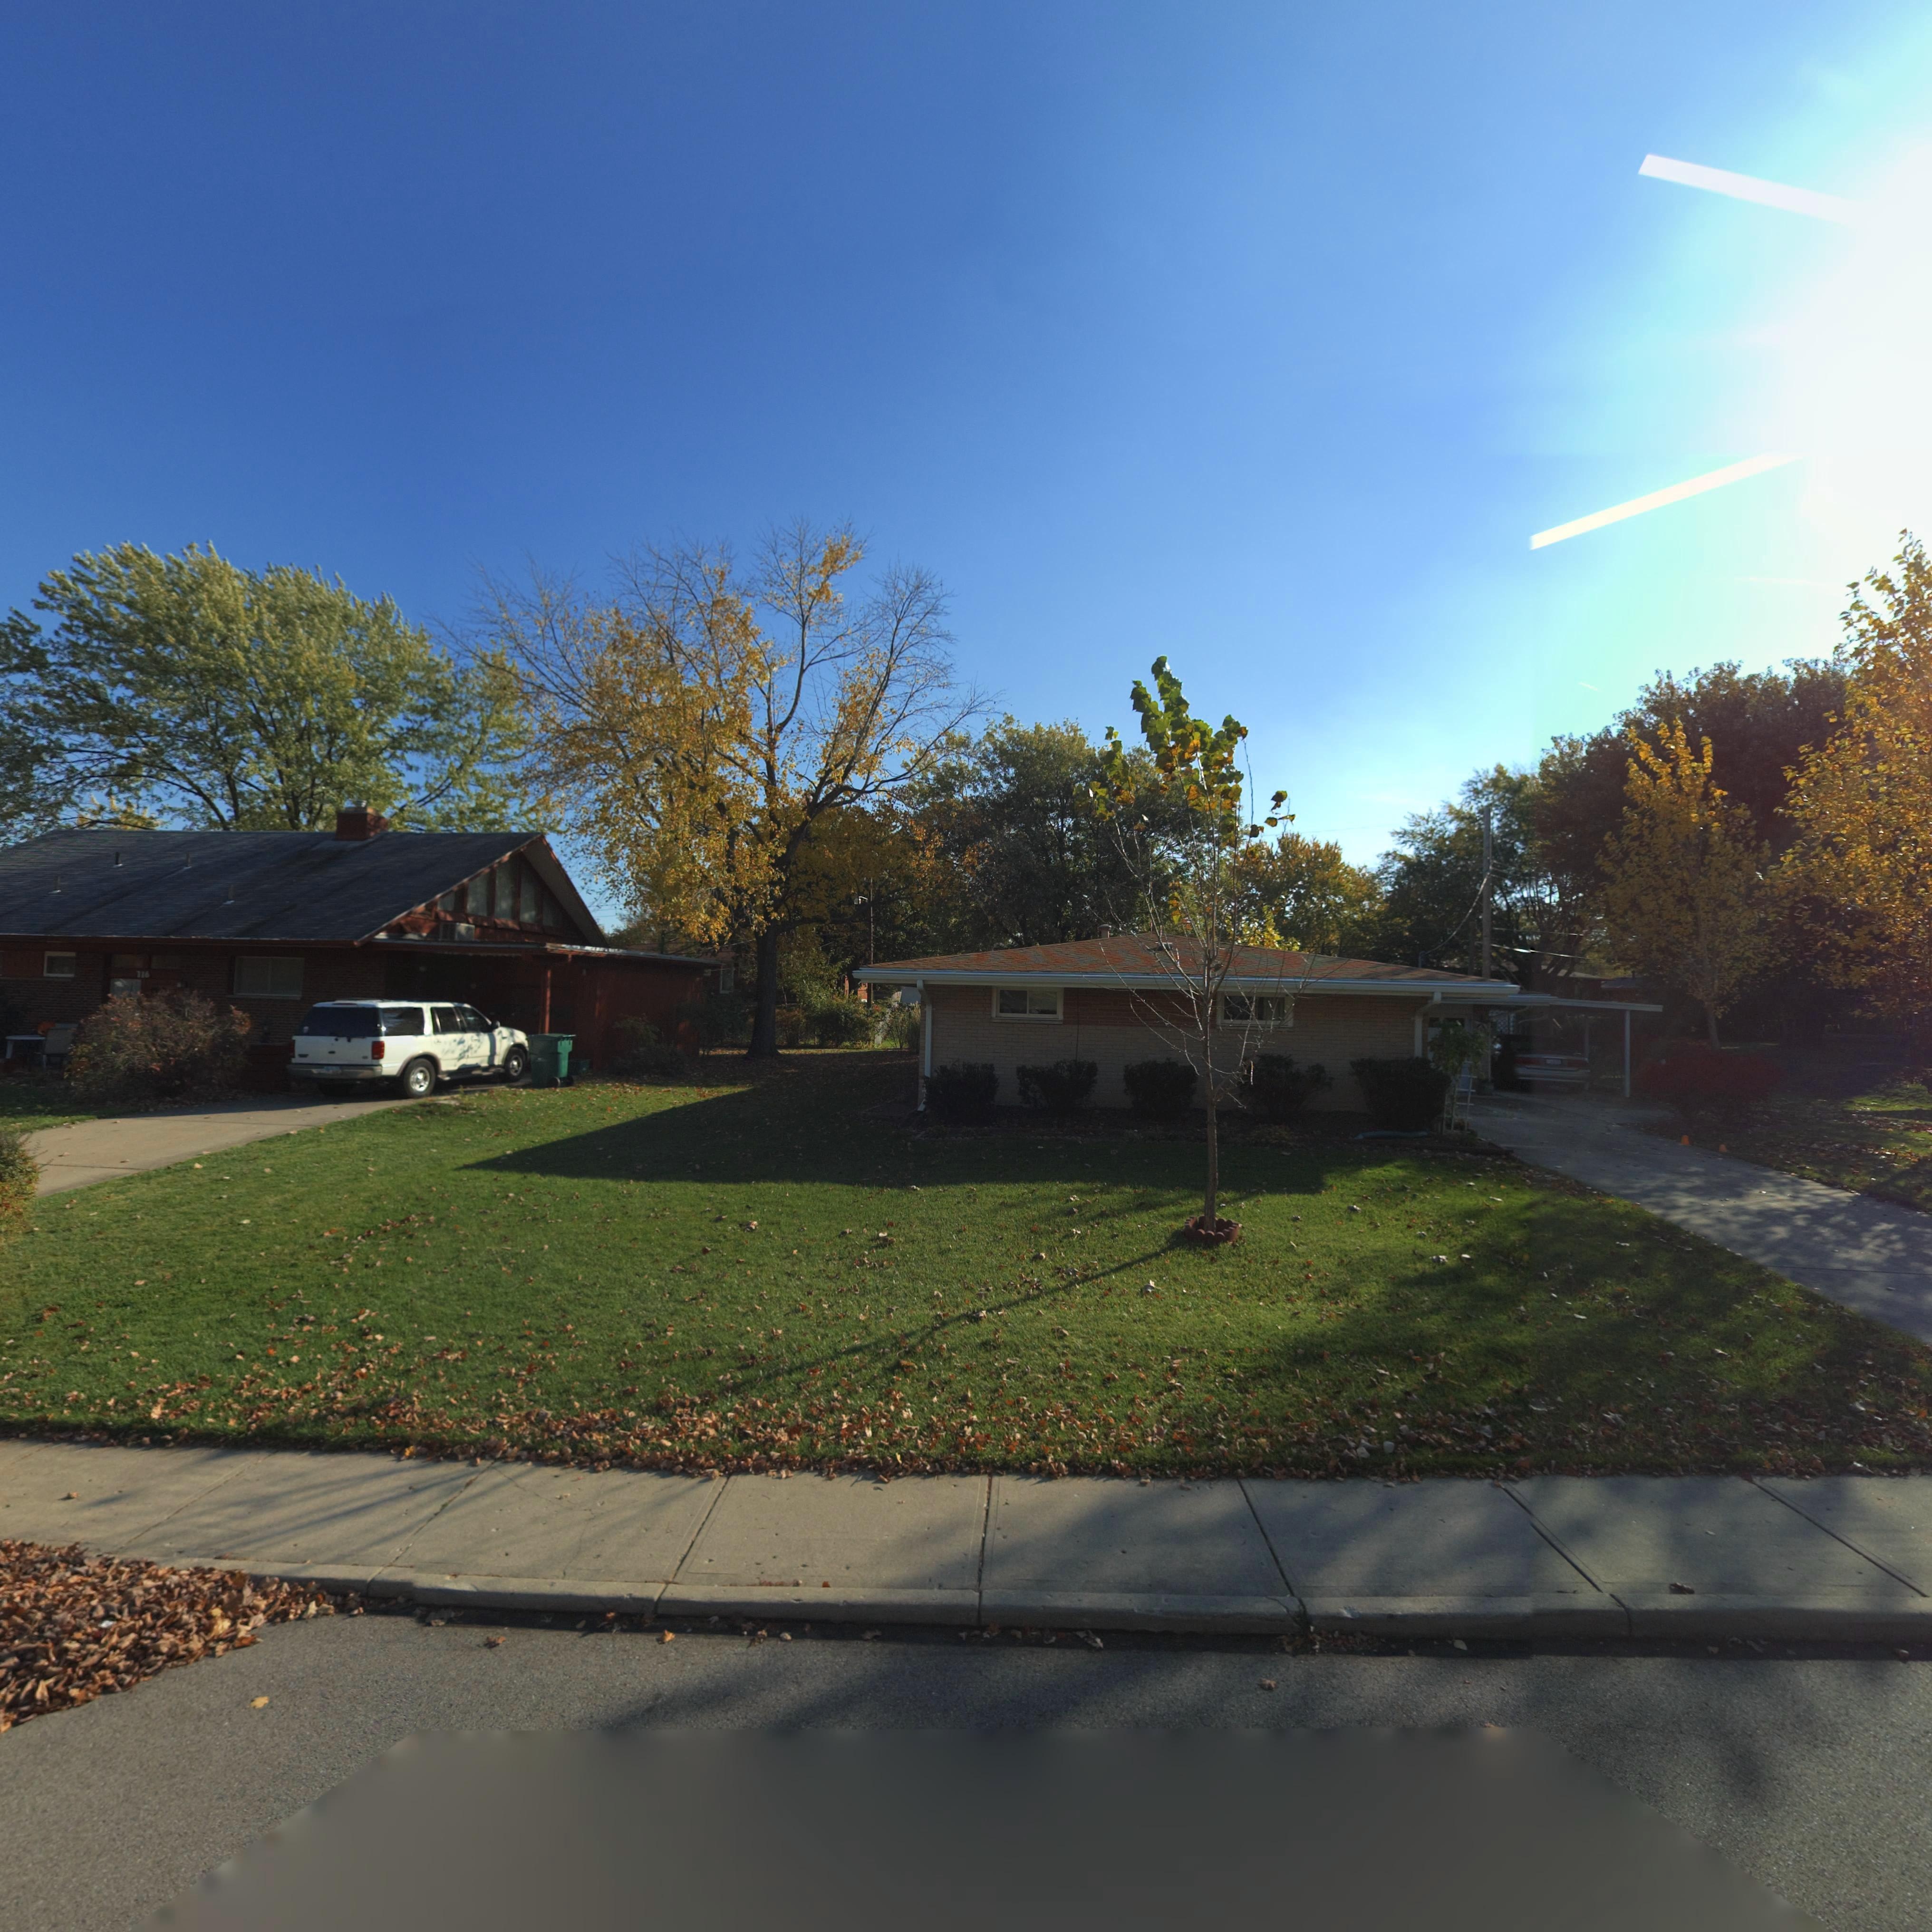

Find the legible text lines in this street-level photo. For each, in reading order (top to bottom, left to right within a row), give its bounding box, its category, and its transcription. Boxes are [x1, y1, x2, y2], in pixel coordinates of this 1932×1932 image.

[136, 970, 151, 978] StreetNumber: 716